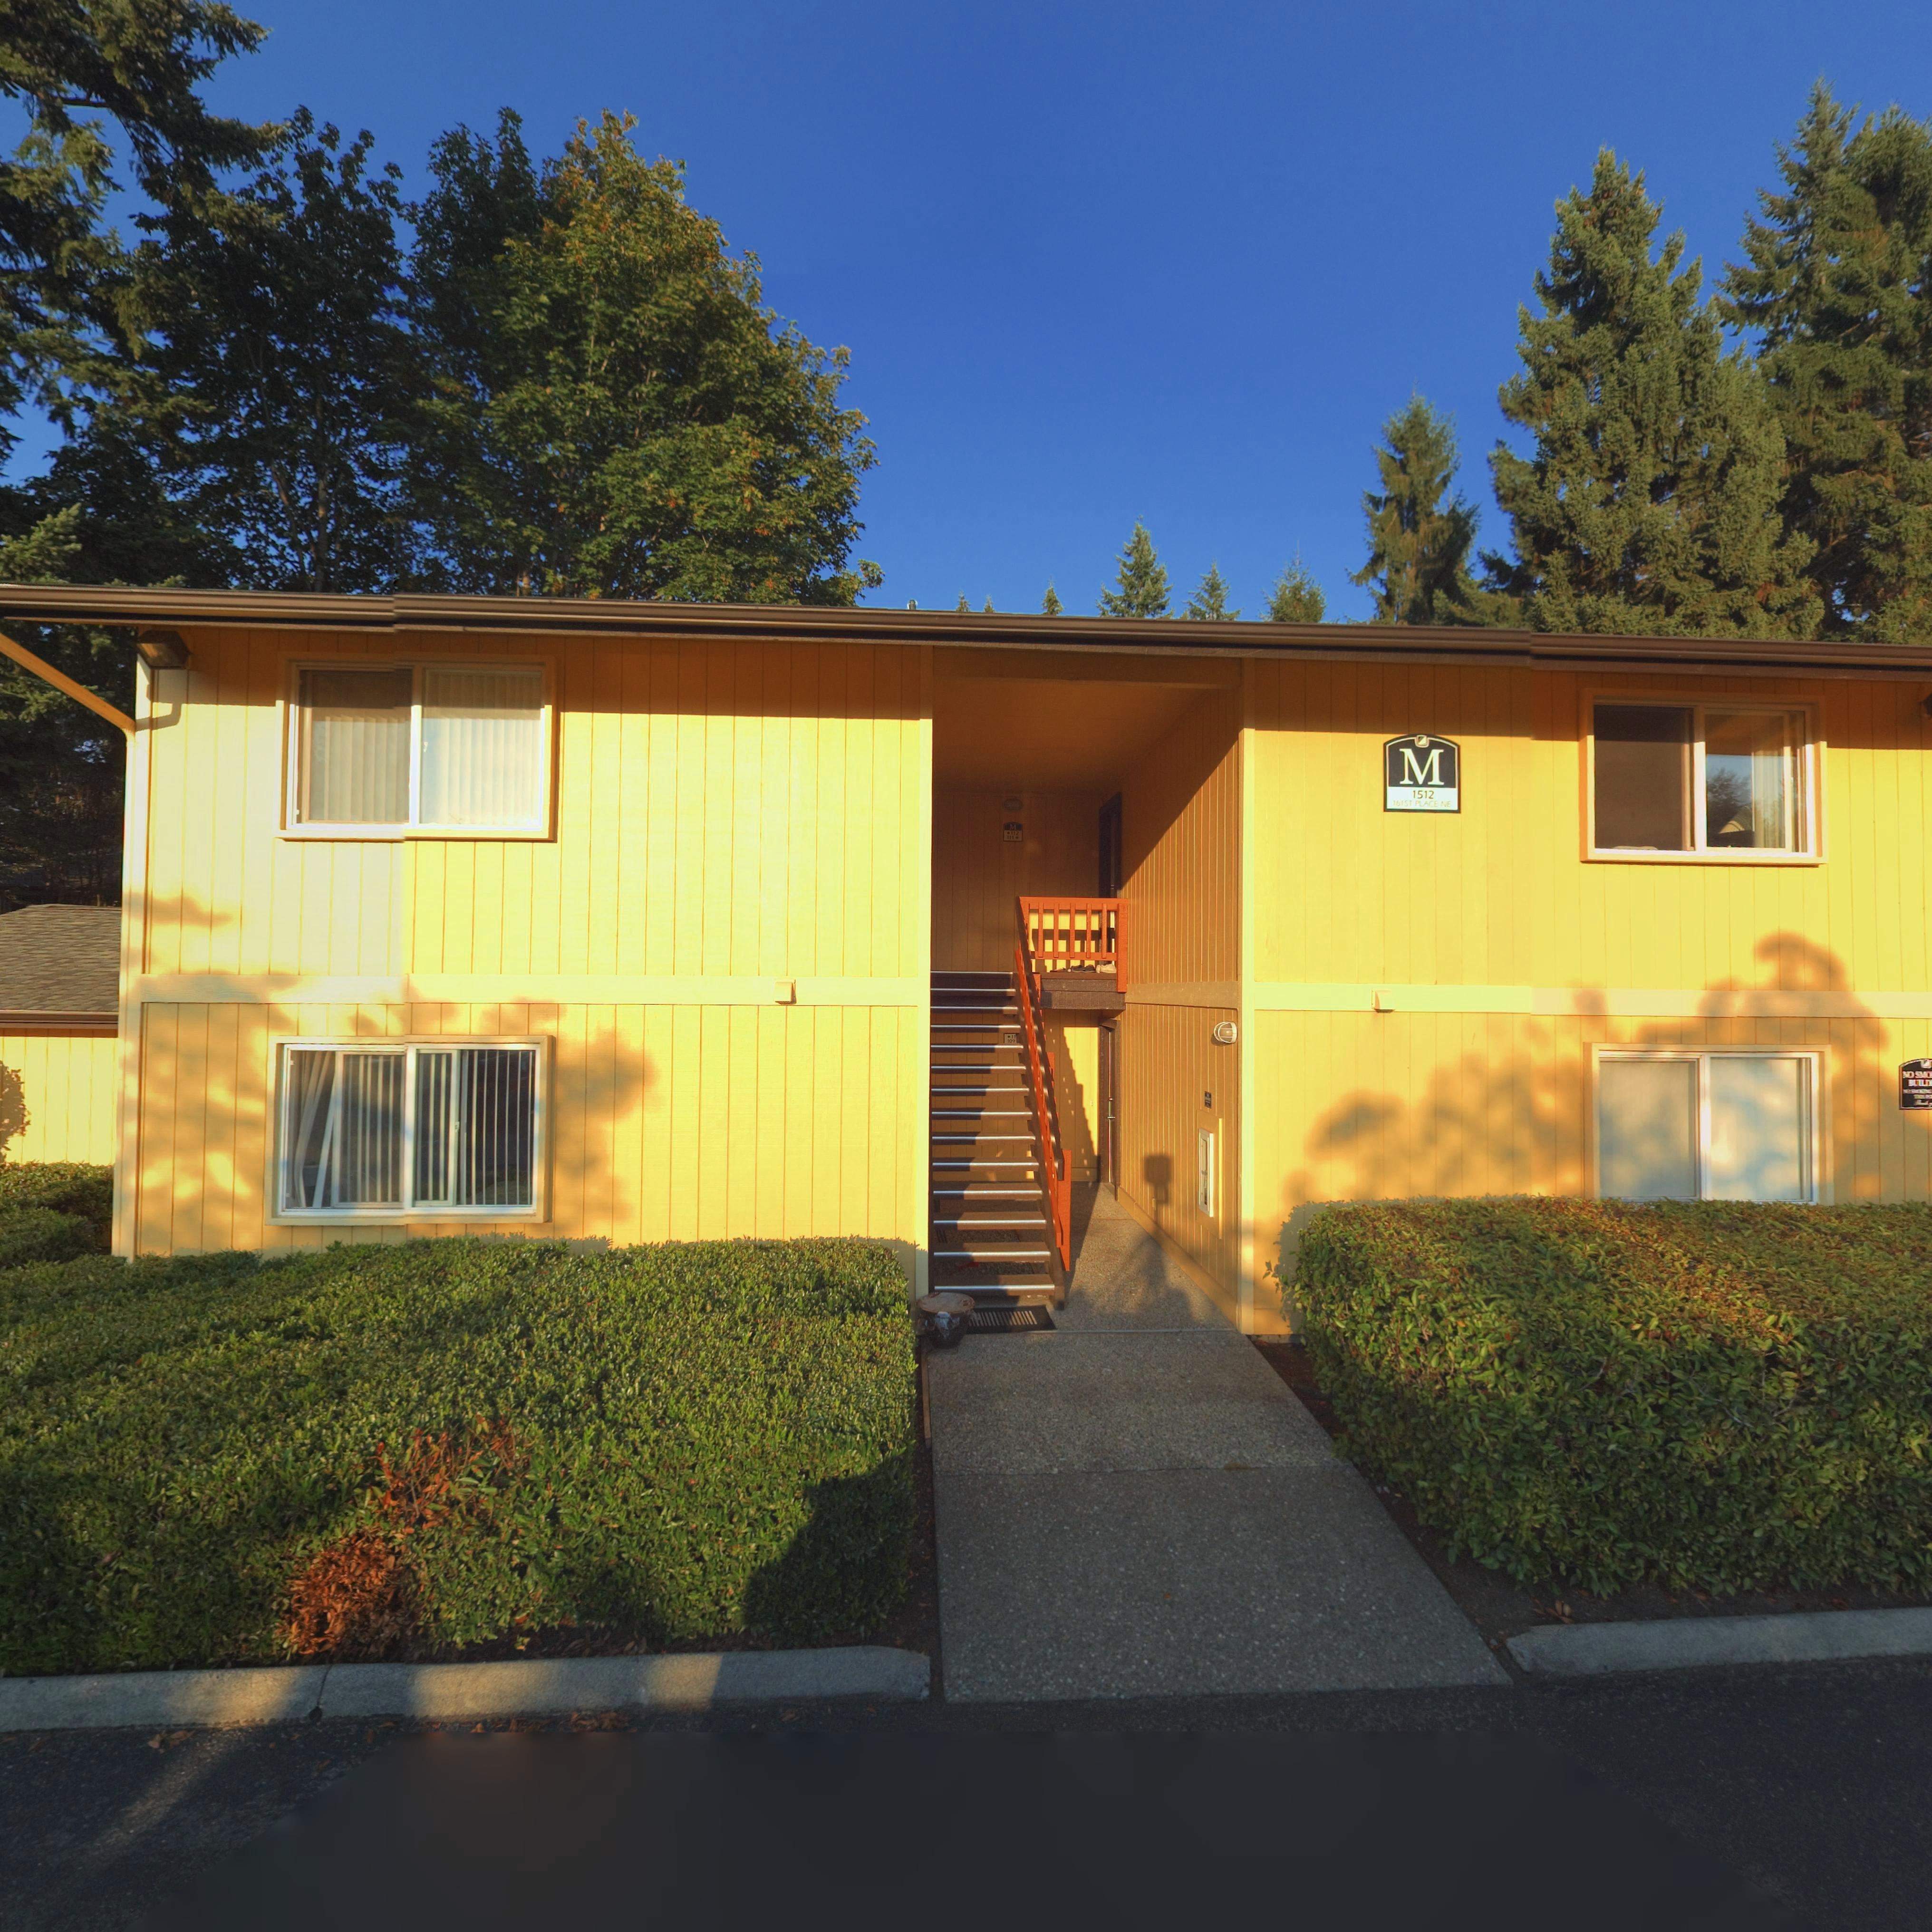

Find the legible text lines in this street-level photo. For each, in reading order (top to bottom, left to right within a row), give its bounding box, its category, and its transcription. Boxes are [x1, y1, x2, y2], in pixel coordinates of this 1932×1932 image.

[1412, 789, 1434, 799] StreetNumber: 1512
[1392, 799, 1451, 808] StreetName: 161ST PLACE NE